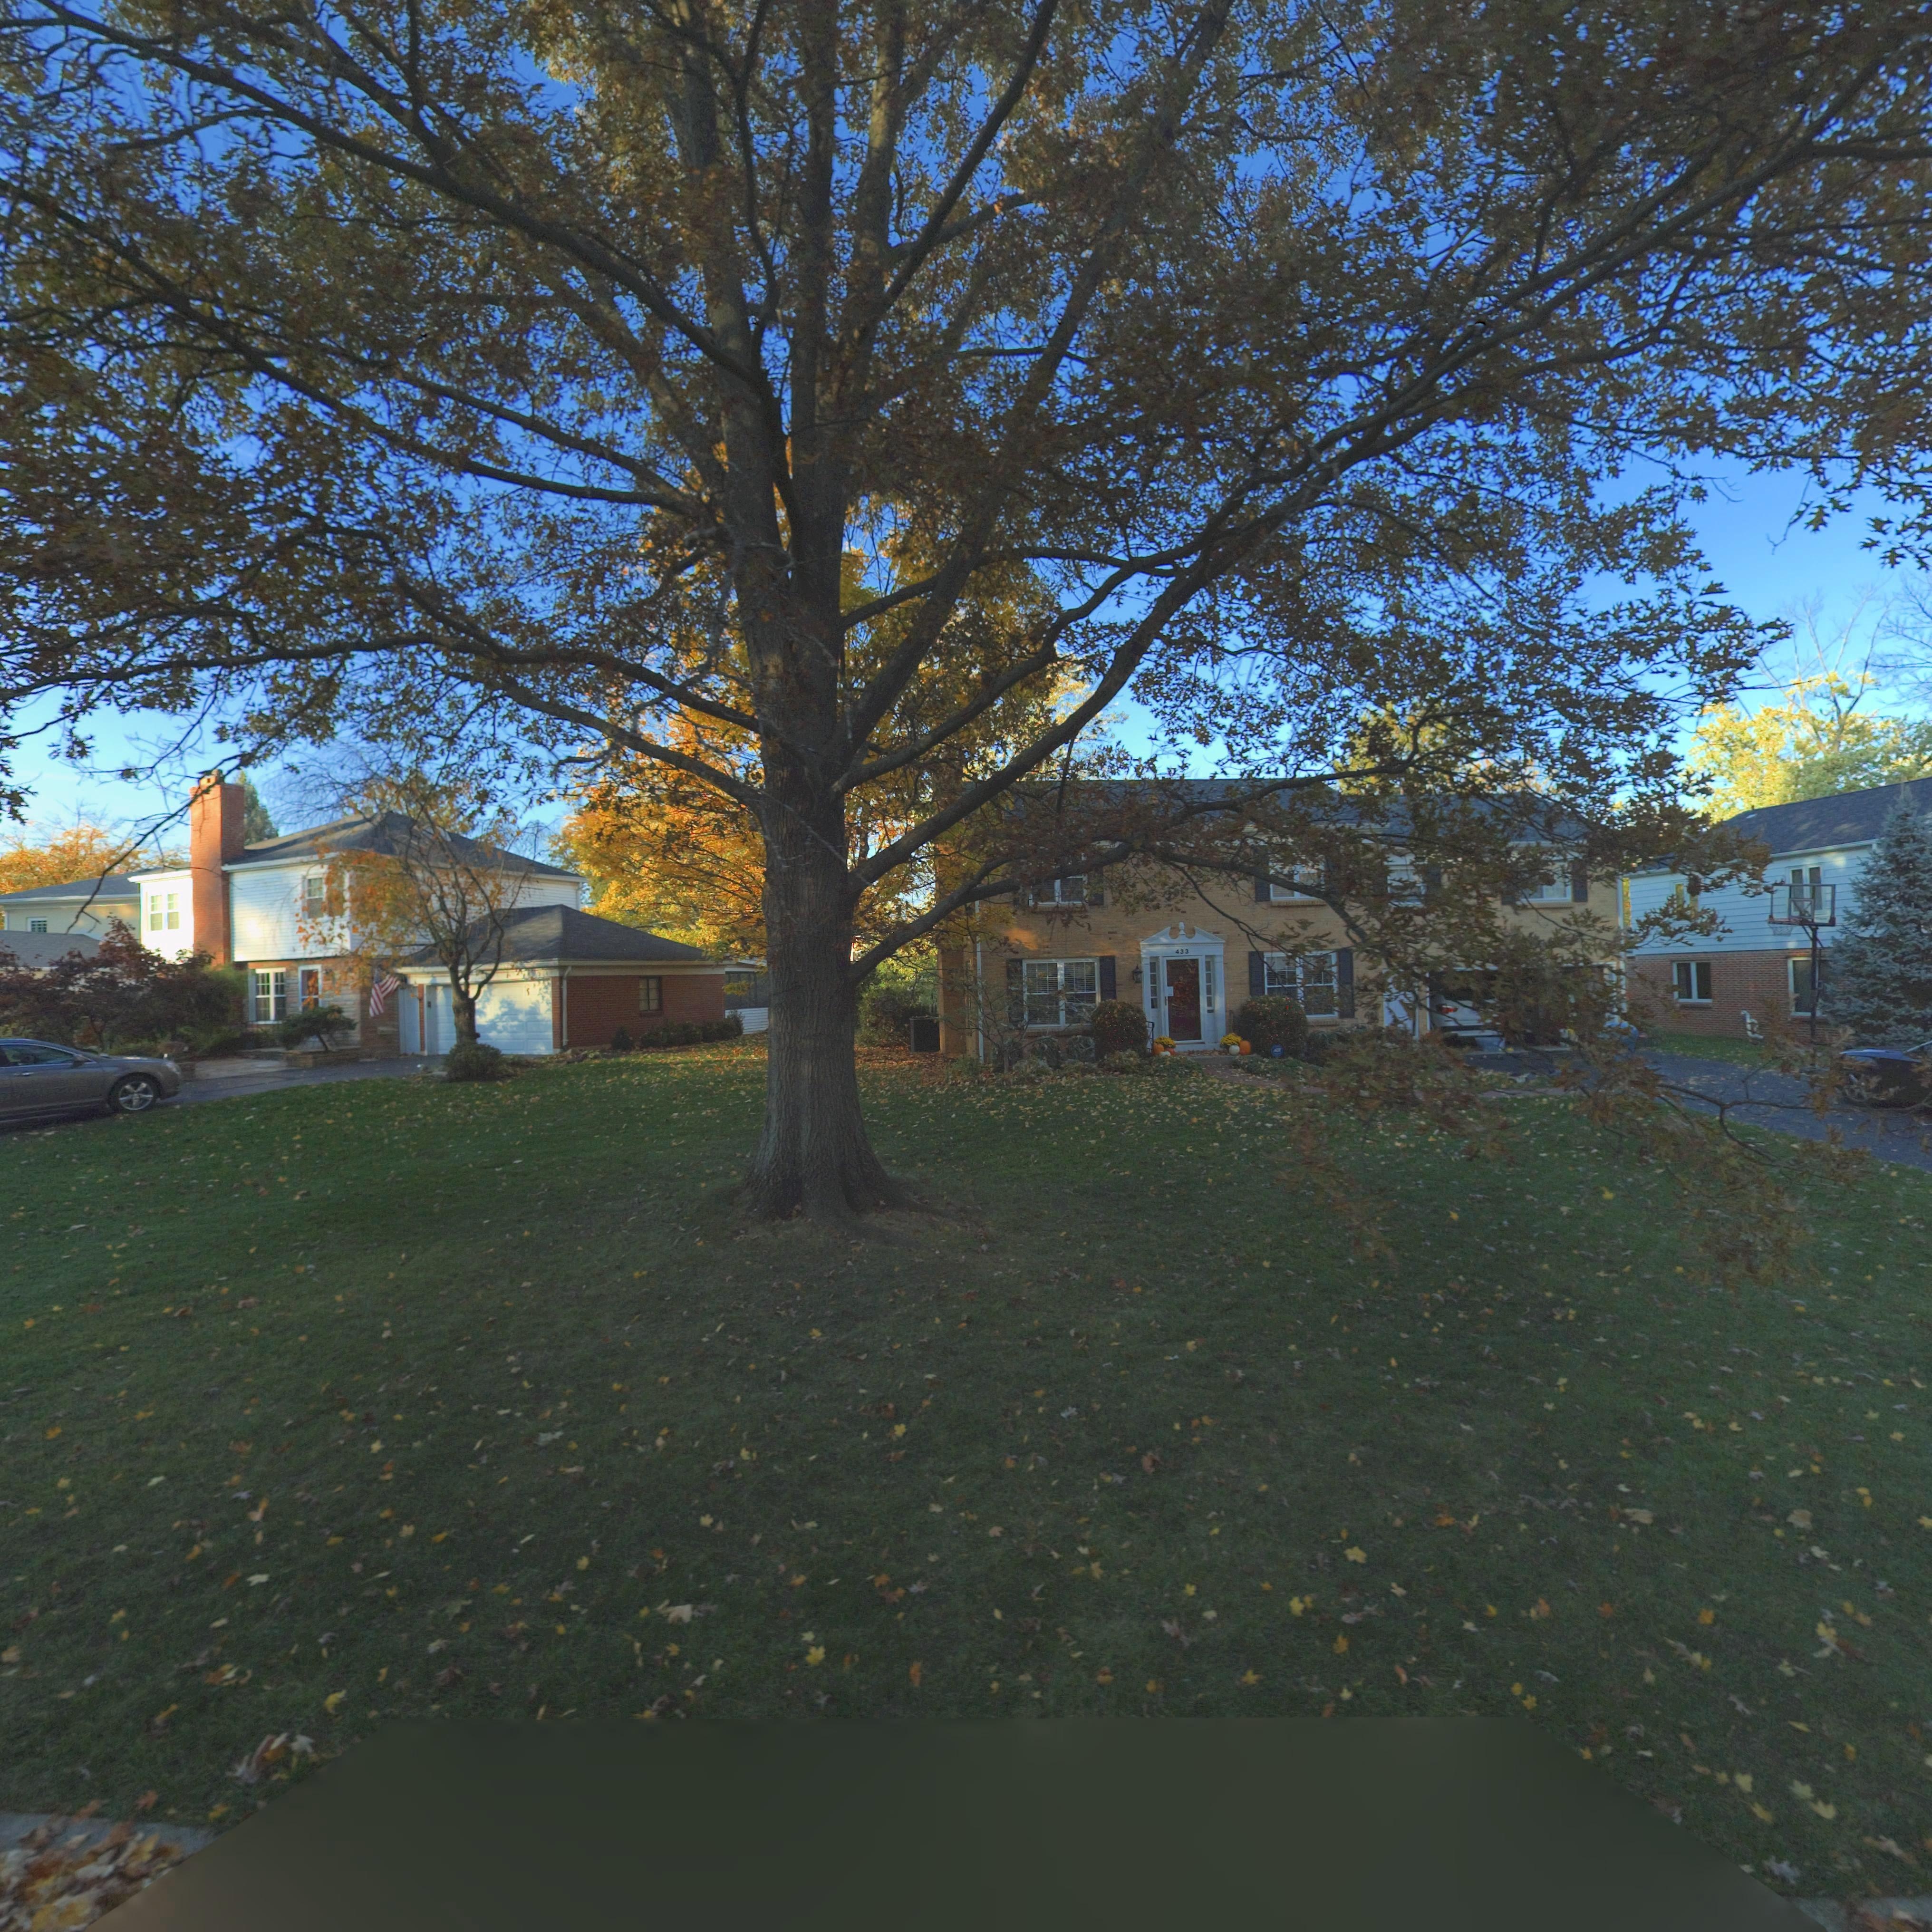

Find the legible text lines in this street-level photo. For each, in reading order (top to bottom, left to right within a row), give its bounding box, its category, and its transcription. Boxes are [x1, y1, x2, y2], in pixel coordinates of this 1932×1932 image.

[1174, 947, 1190, 955] StreetNumber: 433